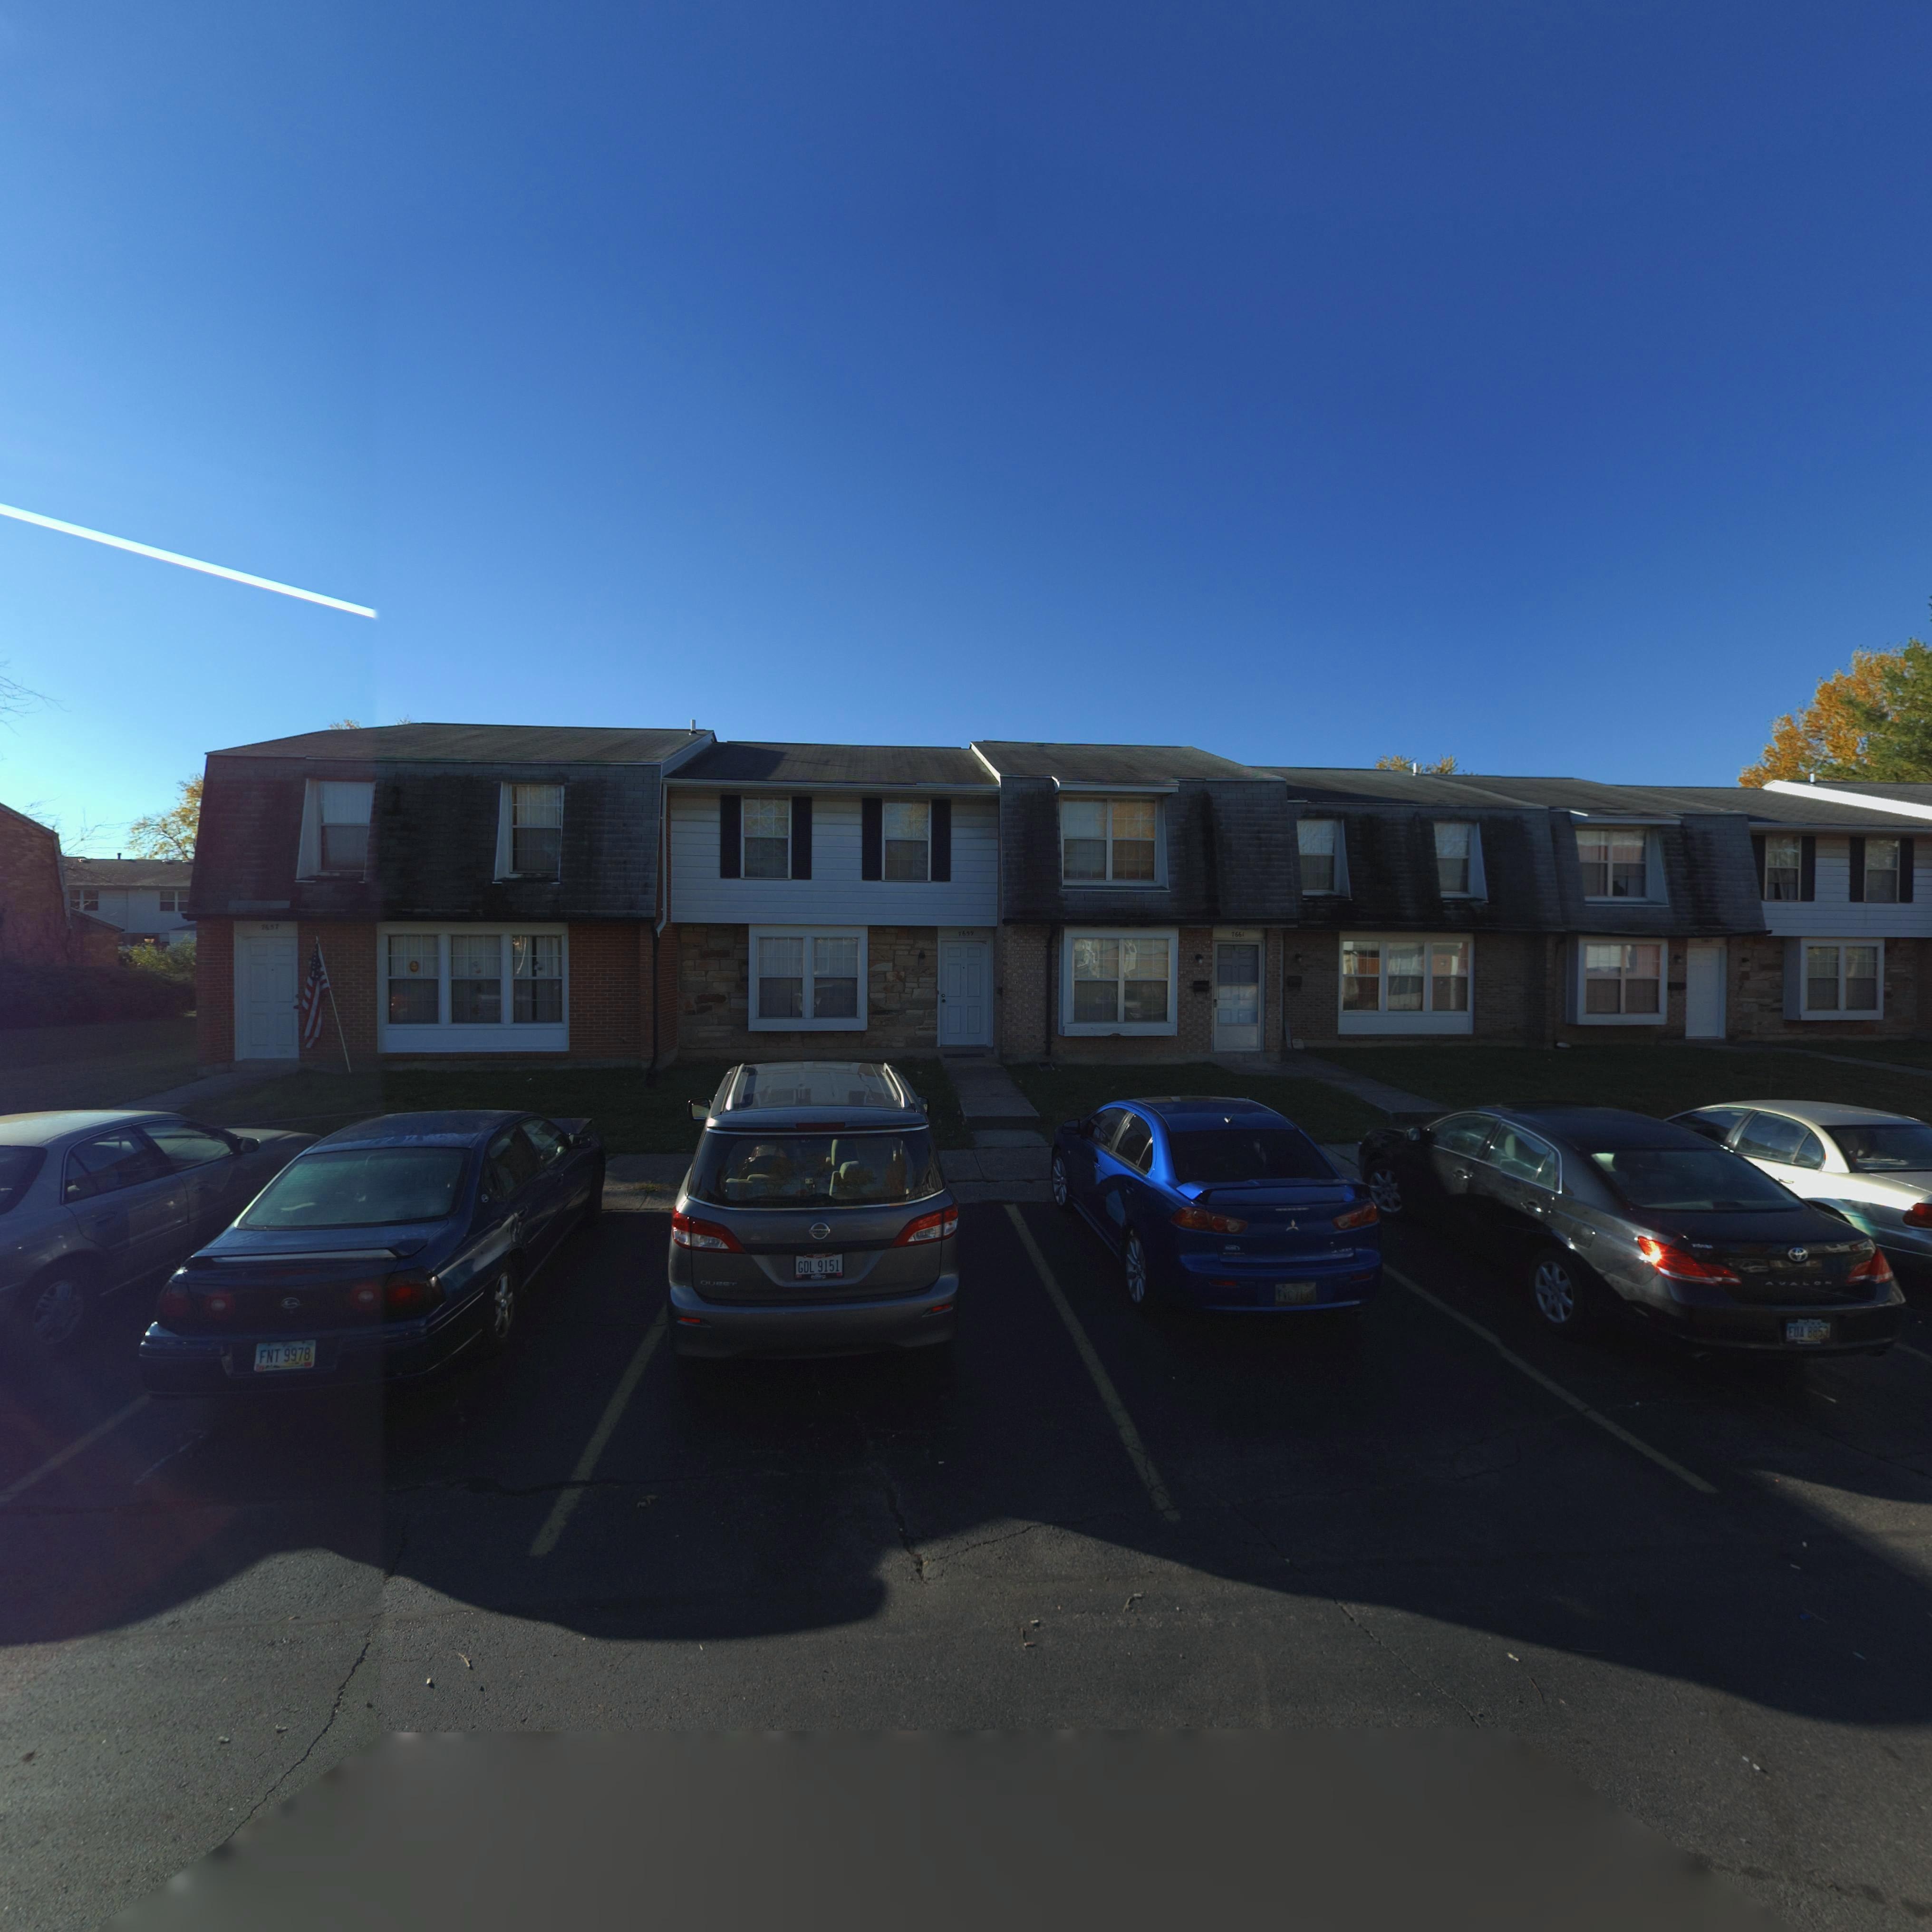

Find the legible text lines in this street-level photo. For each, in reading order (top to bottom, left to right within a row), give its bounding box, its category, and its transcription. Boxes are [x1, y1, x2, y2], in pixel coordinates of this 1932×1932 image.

[260, 923, 280, 931] StreetNumber: 7657
[957, 930, 975, 937] StreetNumber: 7659
[1231, 931, 1245, 937] StreetNumber: 7661
[1699, 937, 1714, 944] StreetNumber: 7***